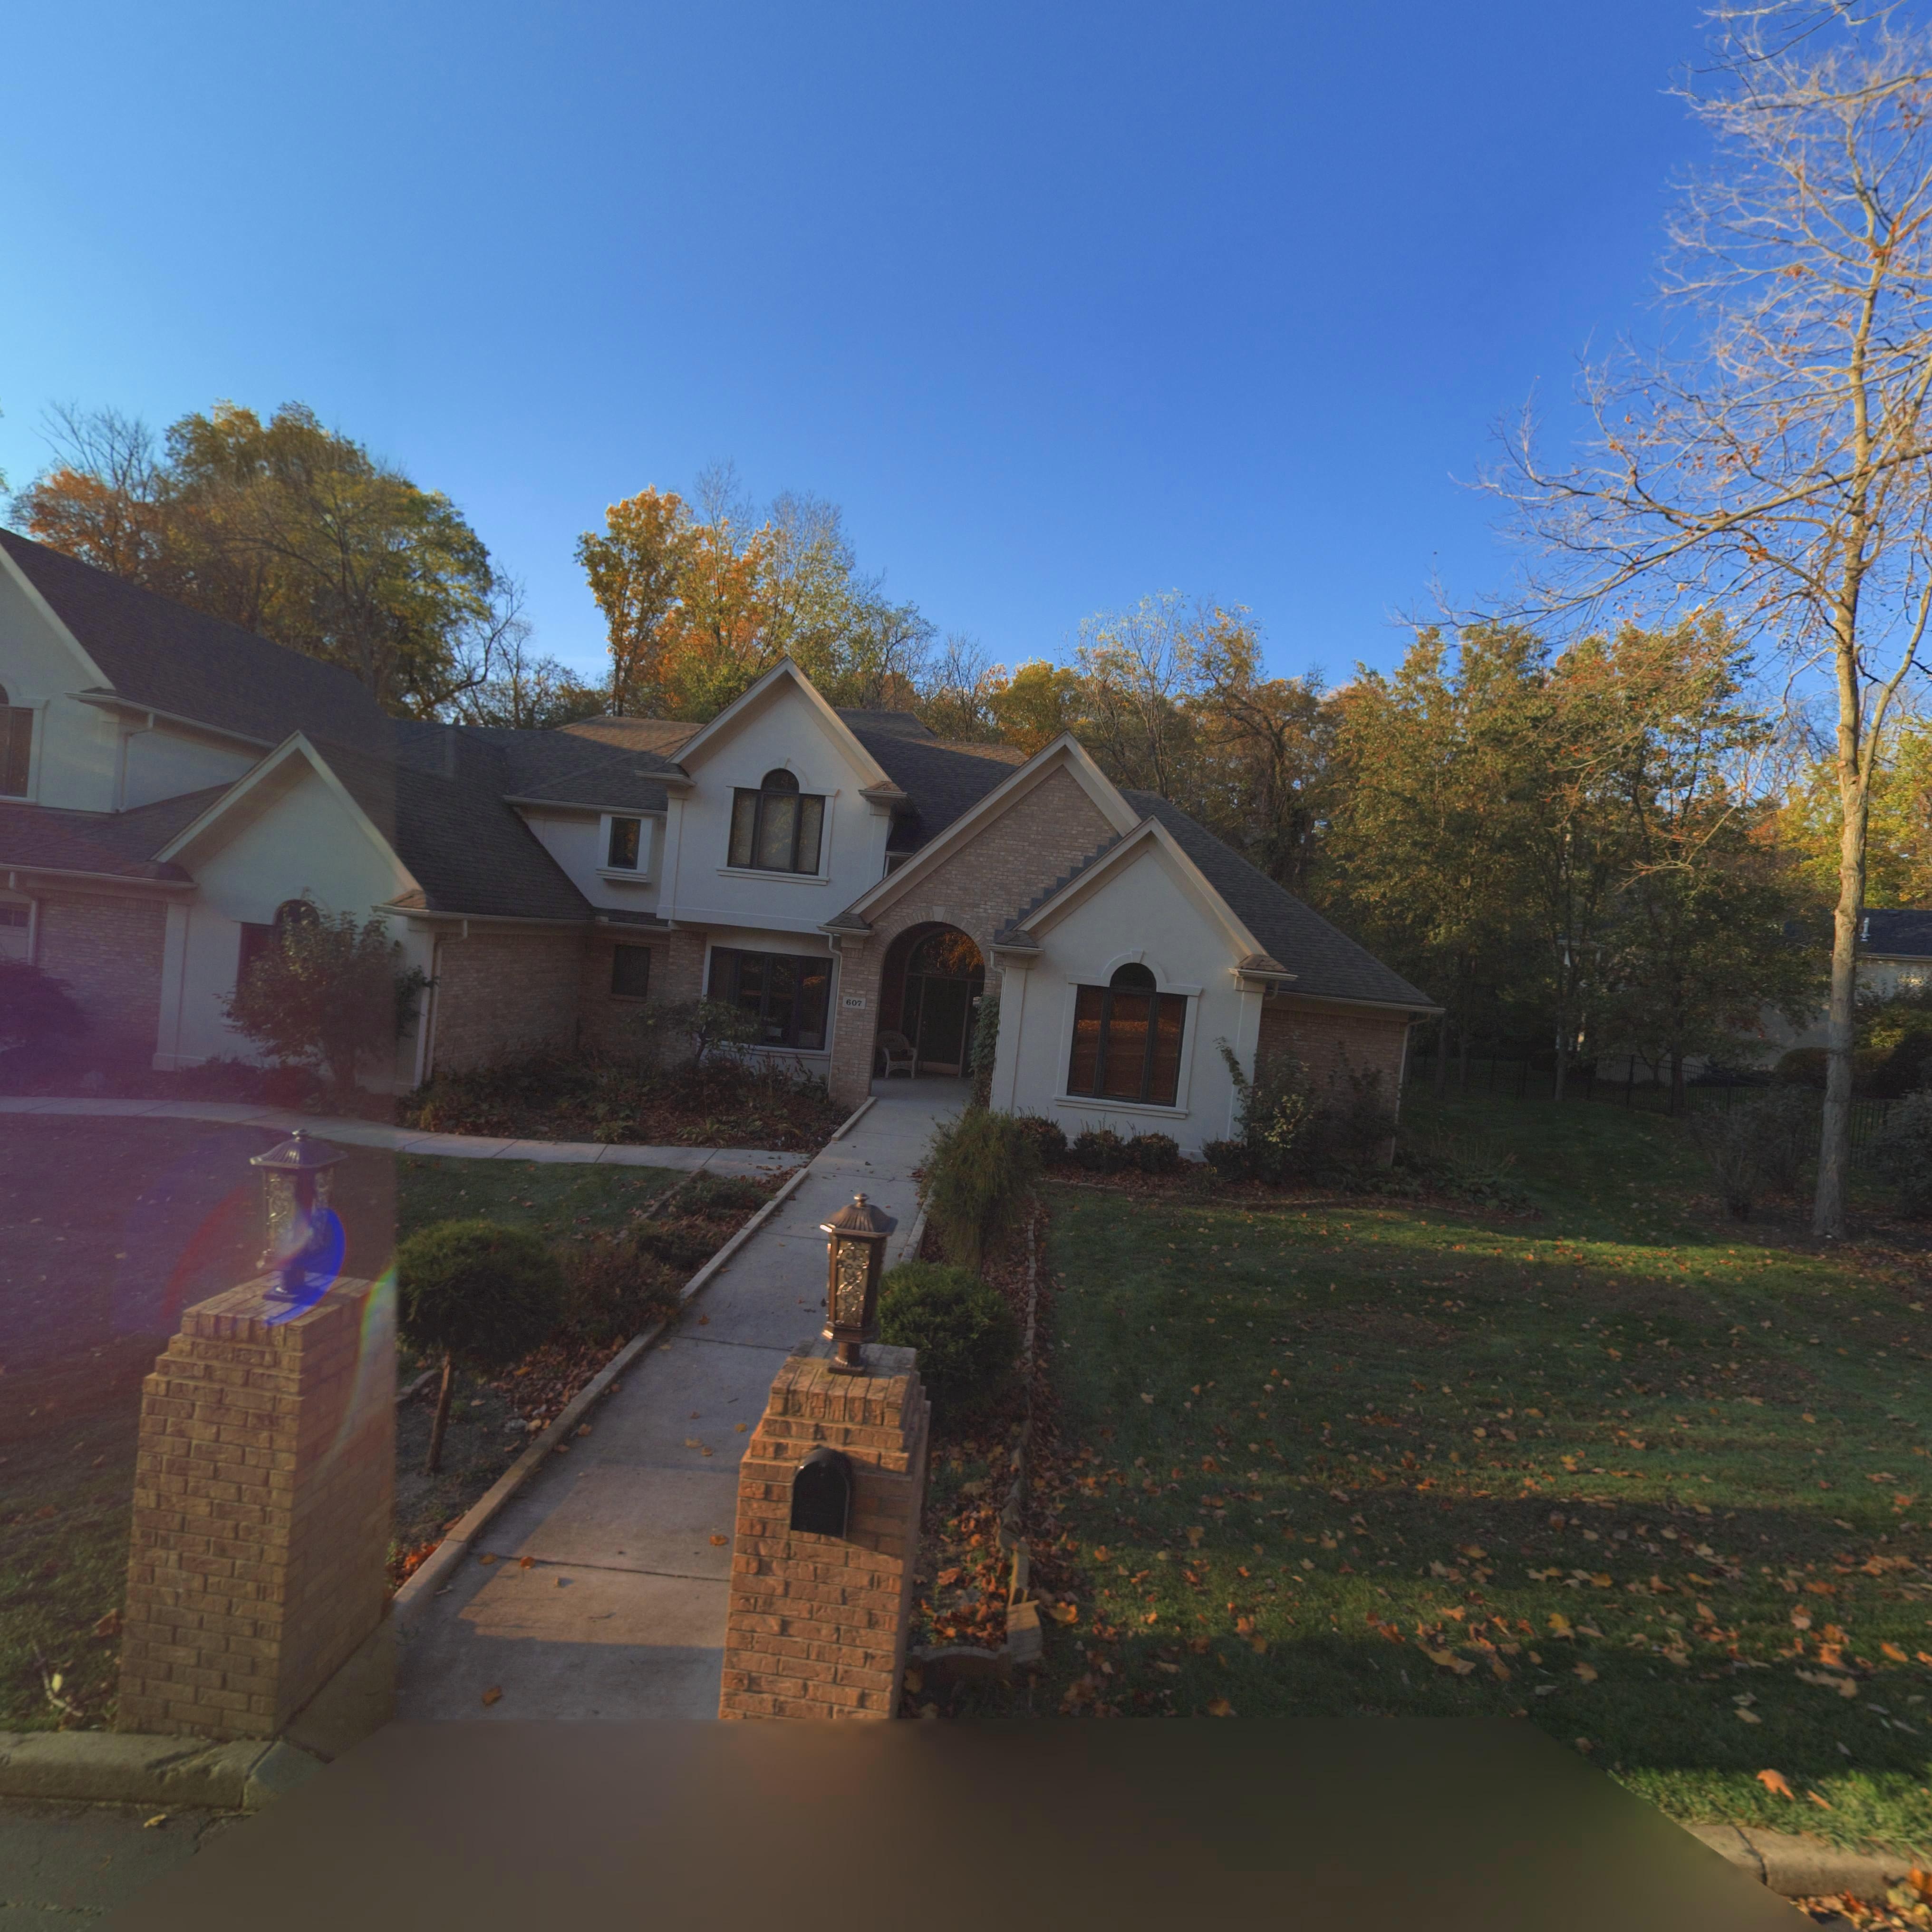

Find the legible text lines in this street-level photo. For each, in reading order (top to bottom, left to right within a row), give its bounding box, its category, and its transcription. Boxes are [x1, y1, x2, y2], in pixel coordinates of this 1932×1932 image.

[845, 998, 863, 1007] StreetNumber: 607